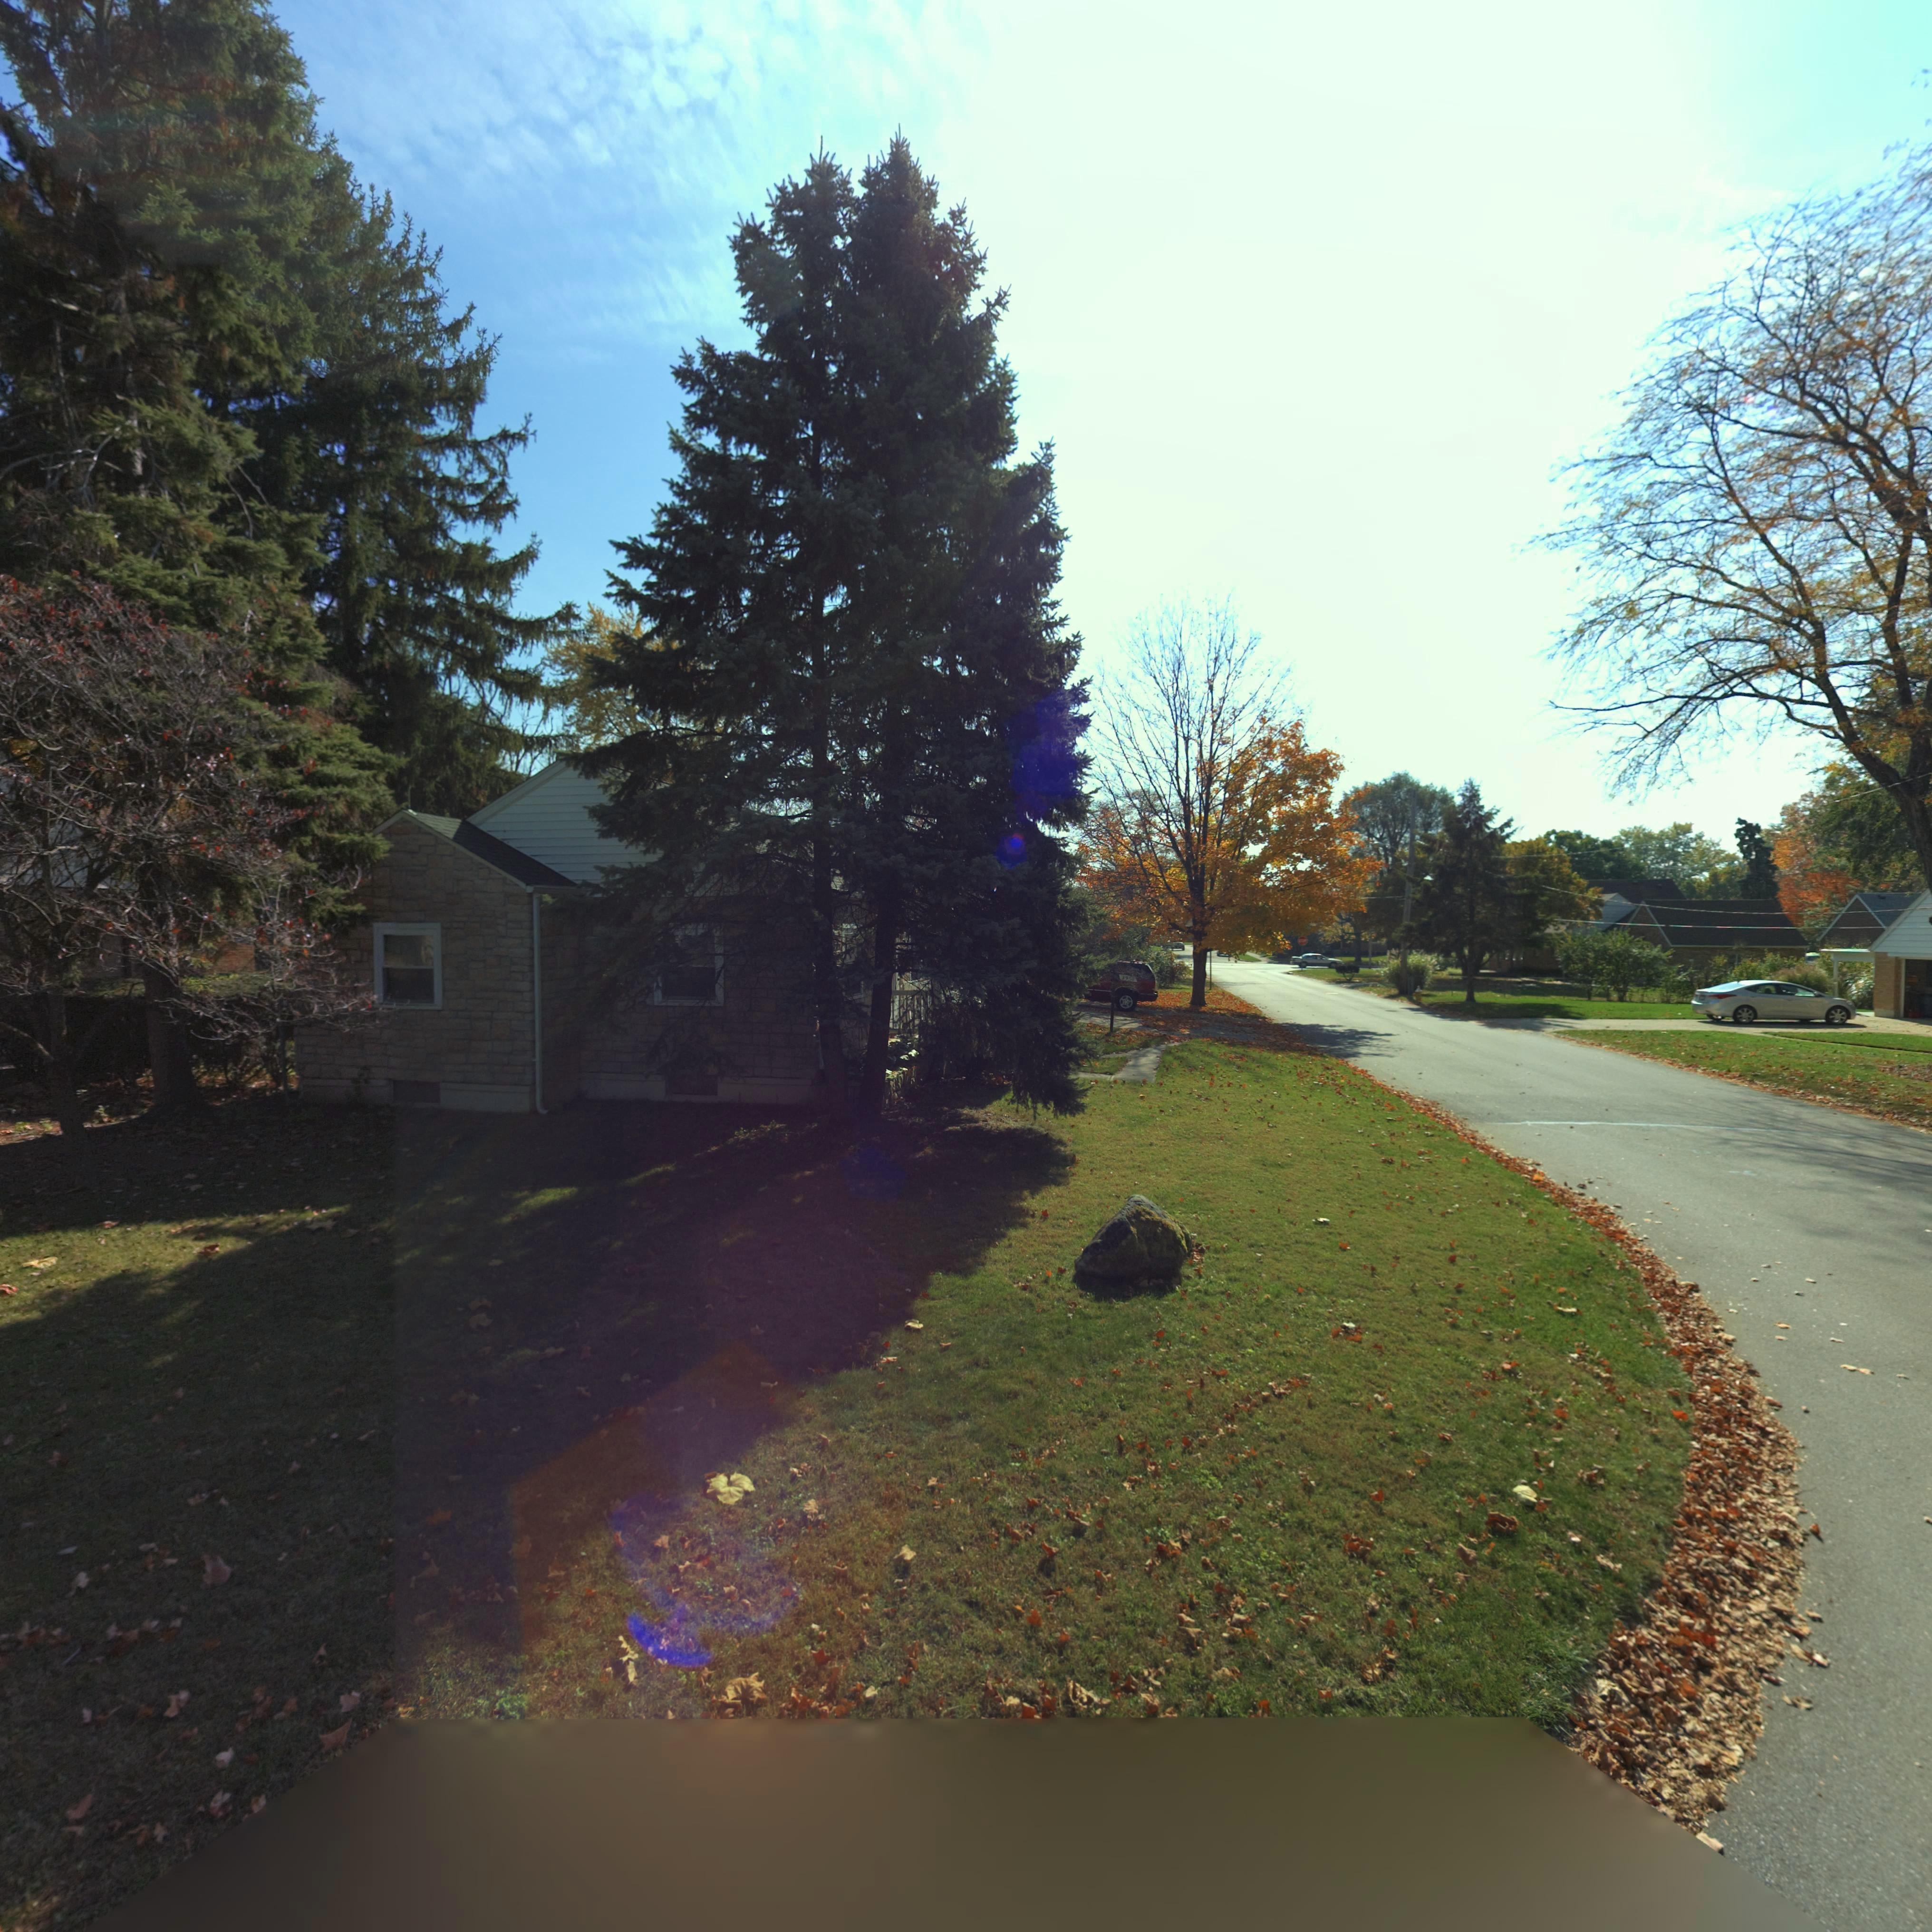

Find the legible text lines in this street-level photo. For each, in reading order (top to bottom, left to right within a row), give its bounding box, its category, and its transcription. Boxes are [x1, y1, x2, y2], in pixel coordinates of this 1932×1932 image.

[1121, 975, 1135, 981] StreetNumber: *9*0